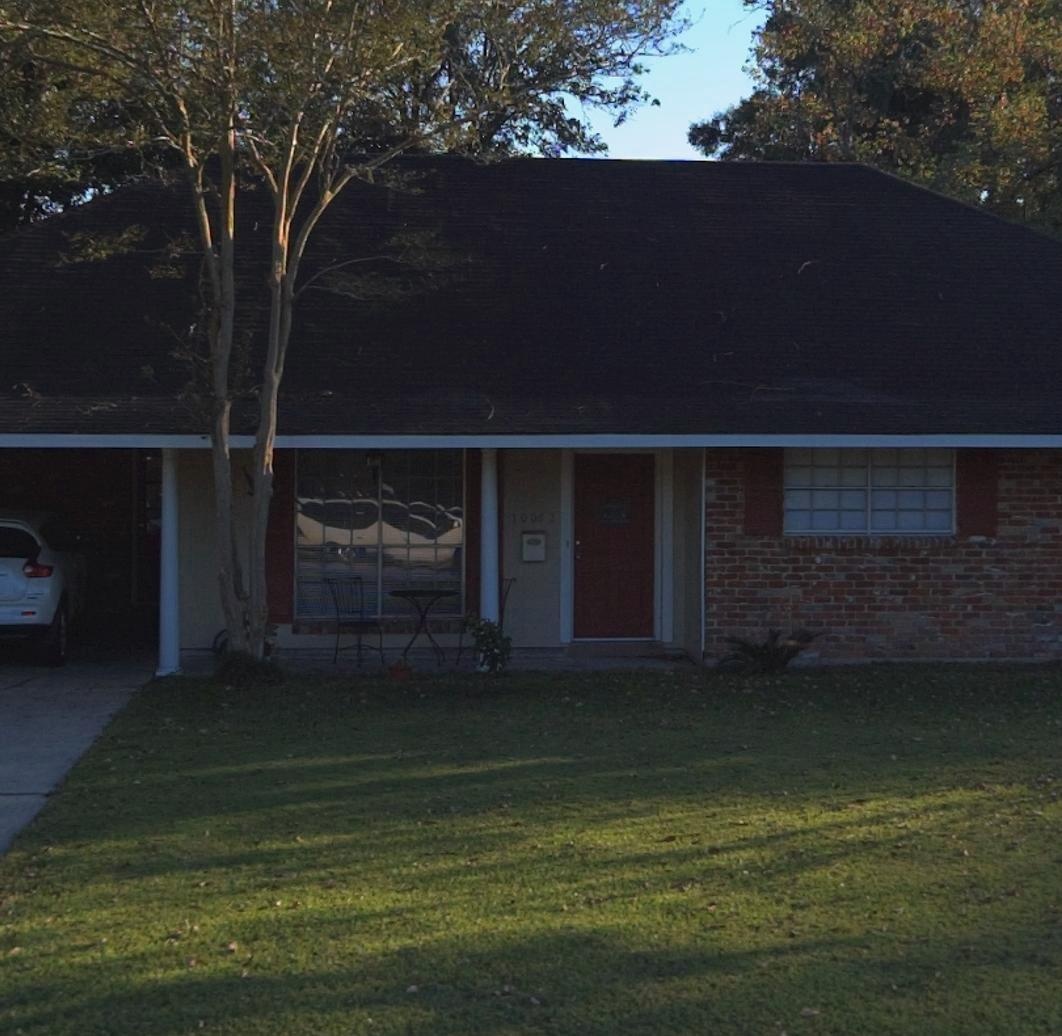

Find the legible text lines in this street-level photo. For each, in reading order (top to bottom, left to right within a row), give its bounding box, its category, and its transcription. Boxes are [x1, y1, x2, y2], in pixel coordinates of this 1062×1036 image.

[512, 511, 557, 525] StreetNumber: 10052